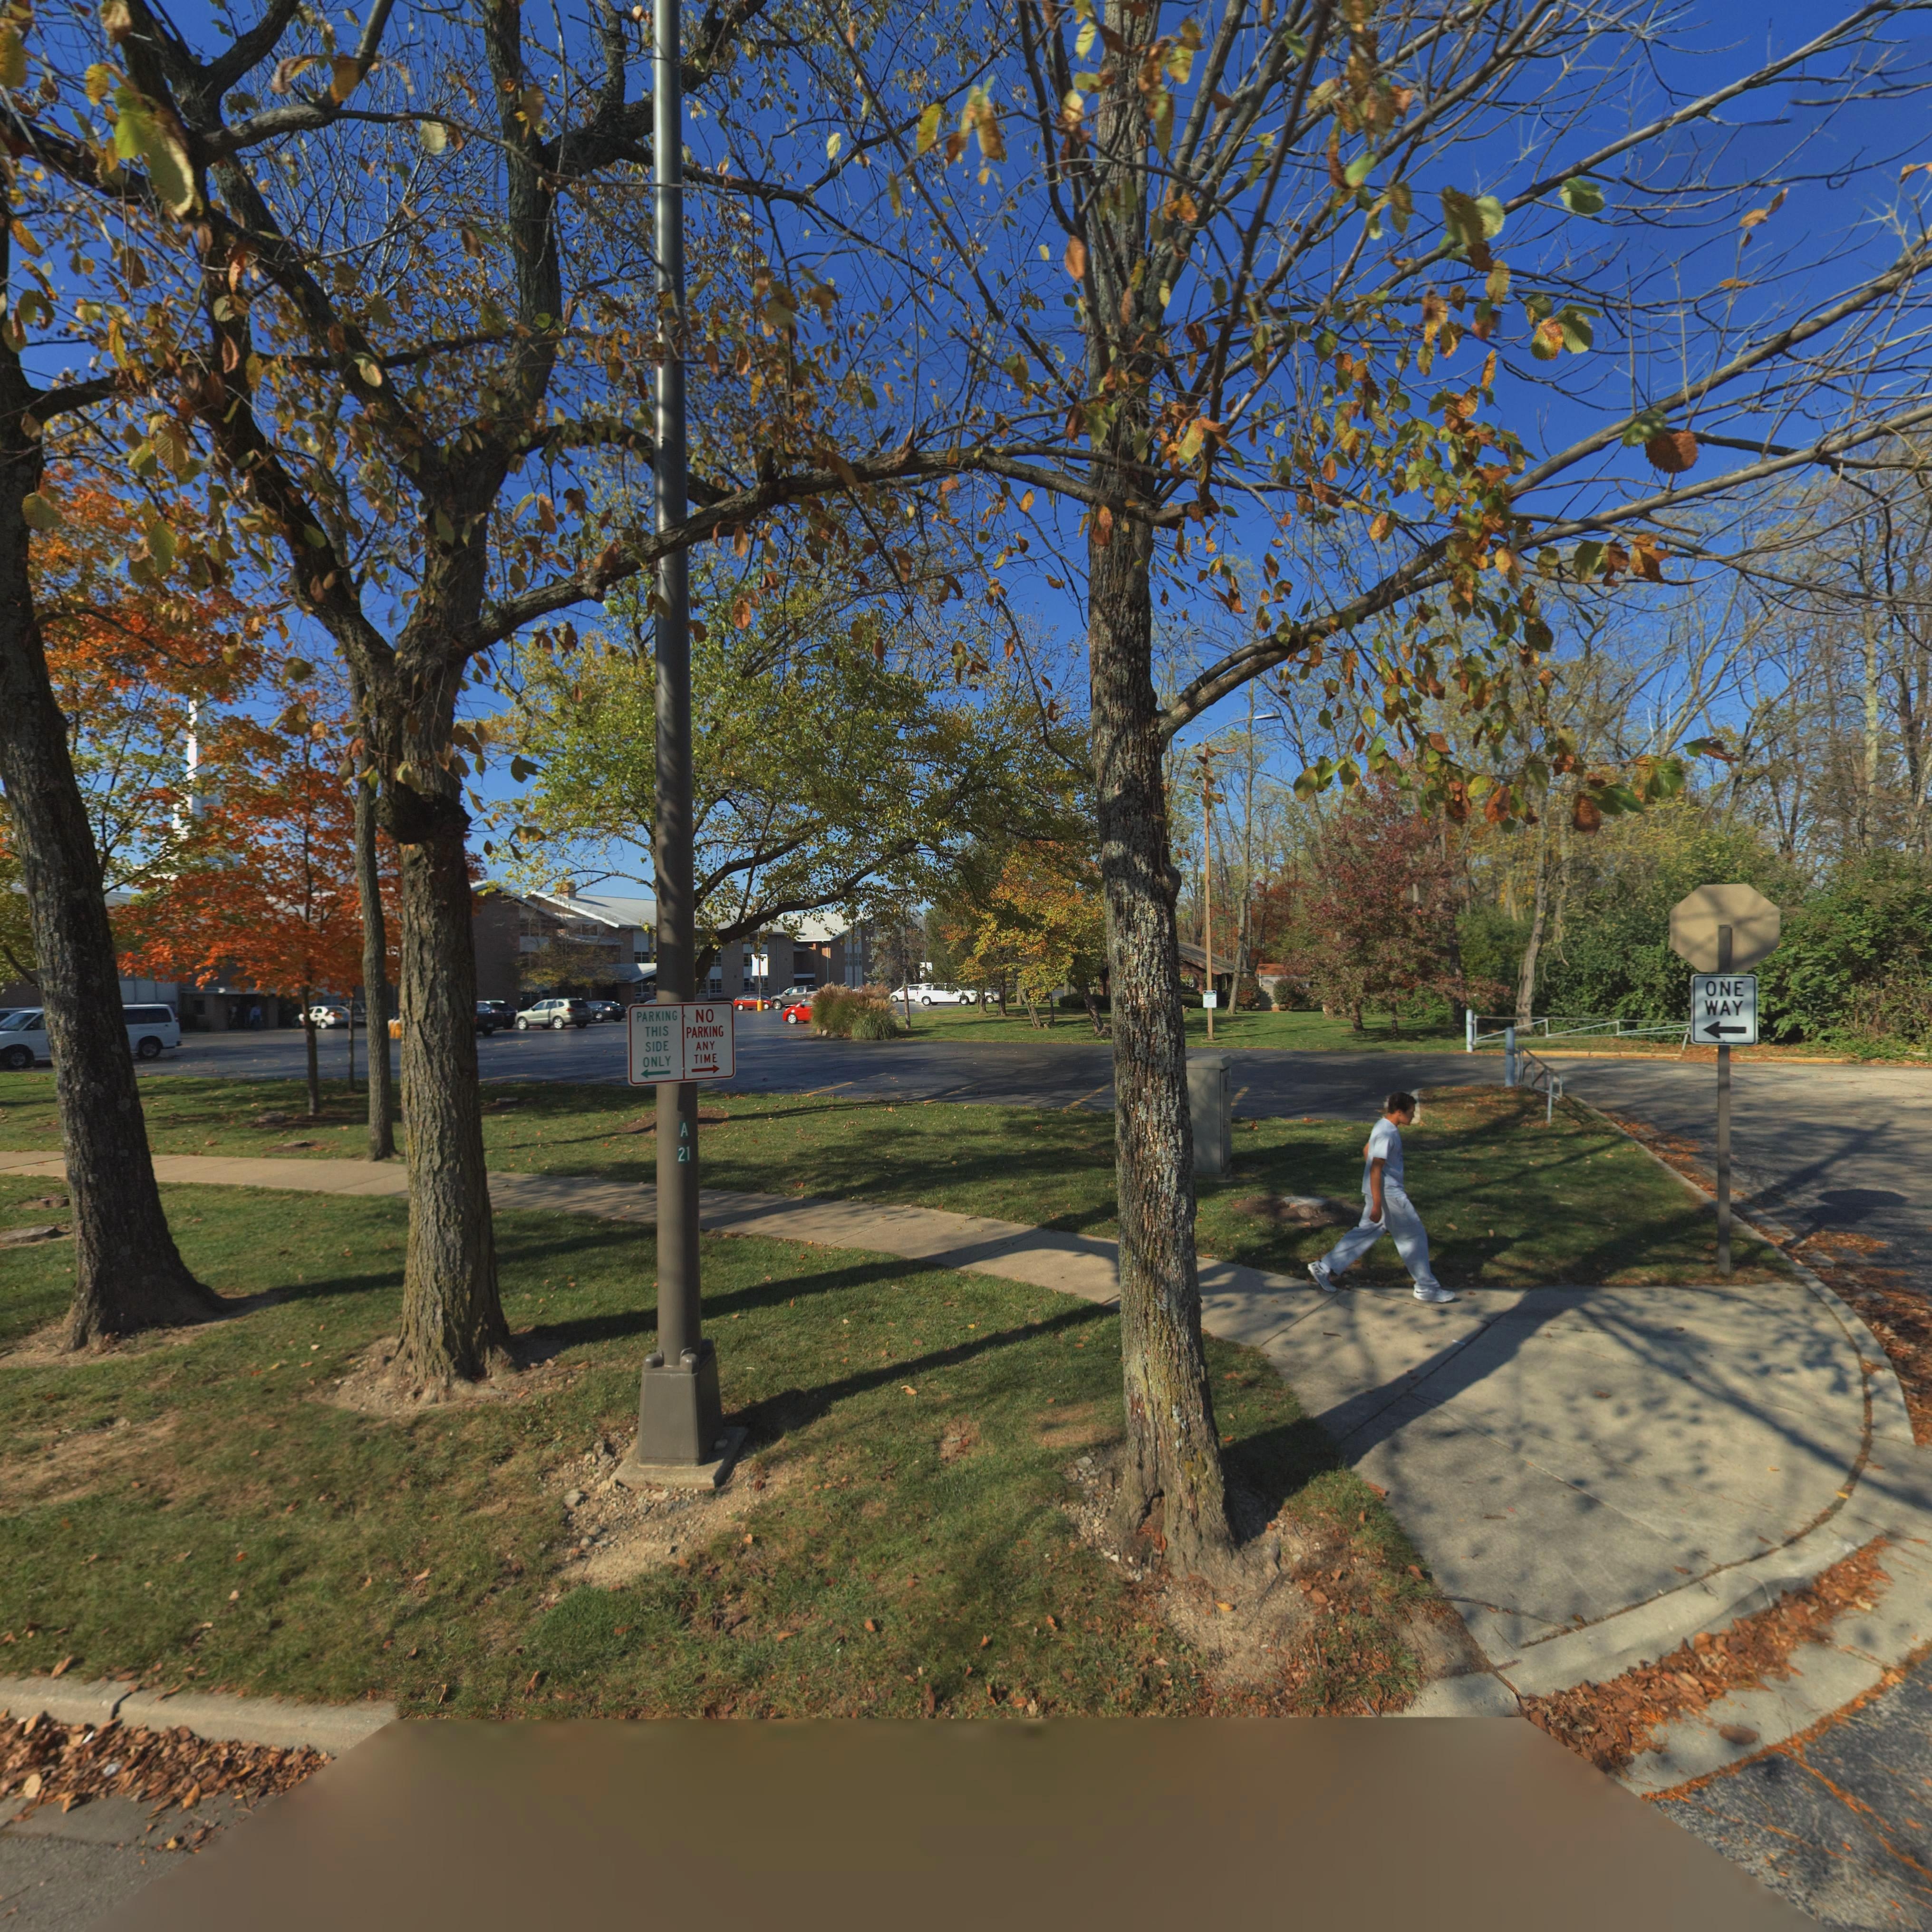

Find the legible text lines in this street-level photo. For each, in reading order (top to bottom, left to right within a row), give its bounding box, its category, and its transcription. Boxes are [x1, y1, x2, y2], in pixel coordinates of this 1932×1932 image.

[1705, 980, 1745, 997] None: ONE
[1702, 999, 1744, 1016] None: WAY
[636, 1010, 678, 1023] None: PARKING
[696, 1008, 714, 1023] None: NO
[644, 1025, 669, 1037] None: THIS
[686, 1024, 724, 1039] None: PARKING
[645, 1040, 669, 1052] None: SIDE
[695, 1040, 716, 1051] None: ANY
[642, 1055, 672, 1068] None: ONLY
[693, 1053, 718, 1064] None: TIME
[679, 1121, 689, 1138] None: A\
[677, 1145, 691, 1163] None: 21